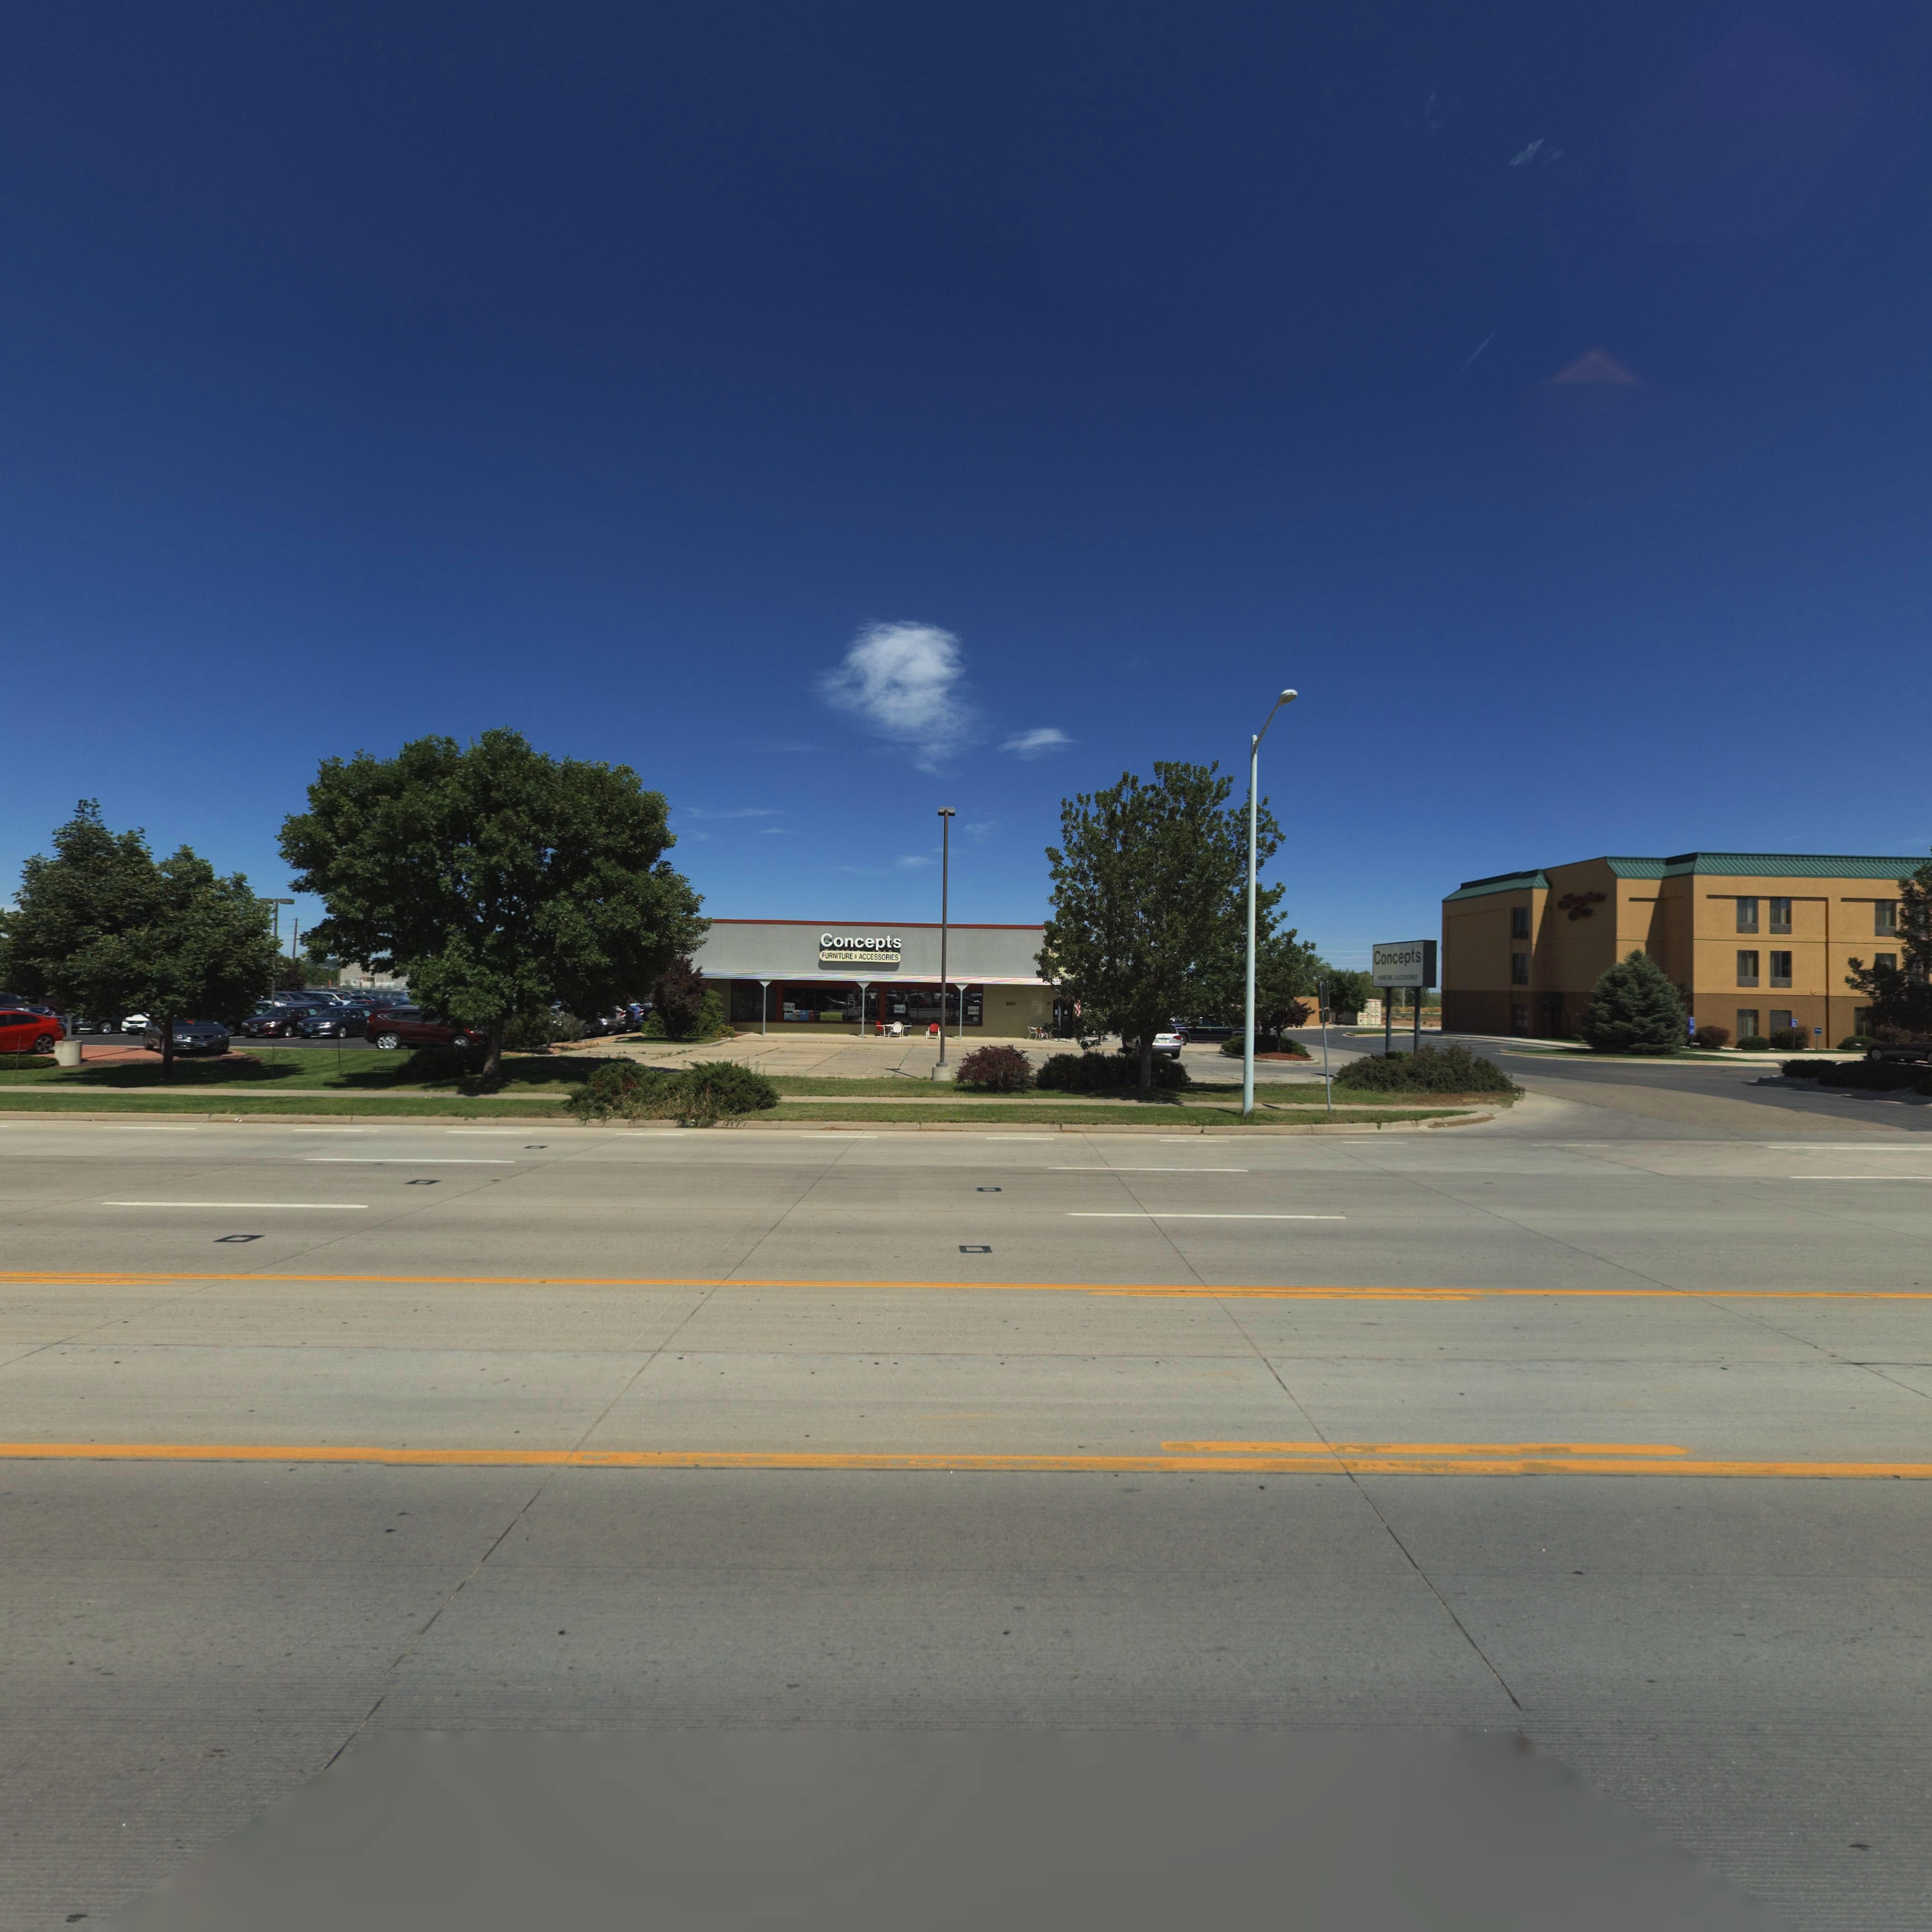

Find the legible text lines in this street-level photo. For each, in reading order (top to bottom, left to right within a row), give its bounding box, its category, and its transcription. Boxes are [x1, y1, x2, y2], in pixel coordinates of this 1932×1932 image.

[820, 932, 902, 951] BusinessName: Concepts
[1373, 948, 1421, 966] BusinessName: Concepts
[1006, 1002, 1016, 1005] StreetNumber: 800